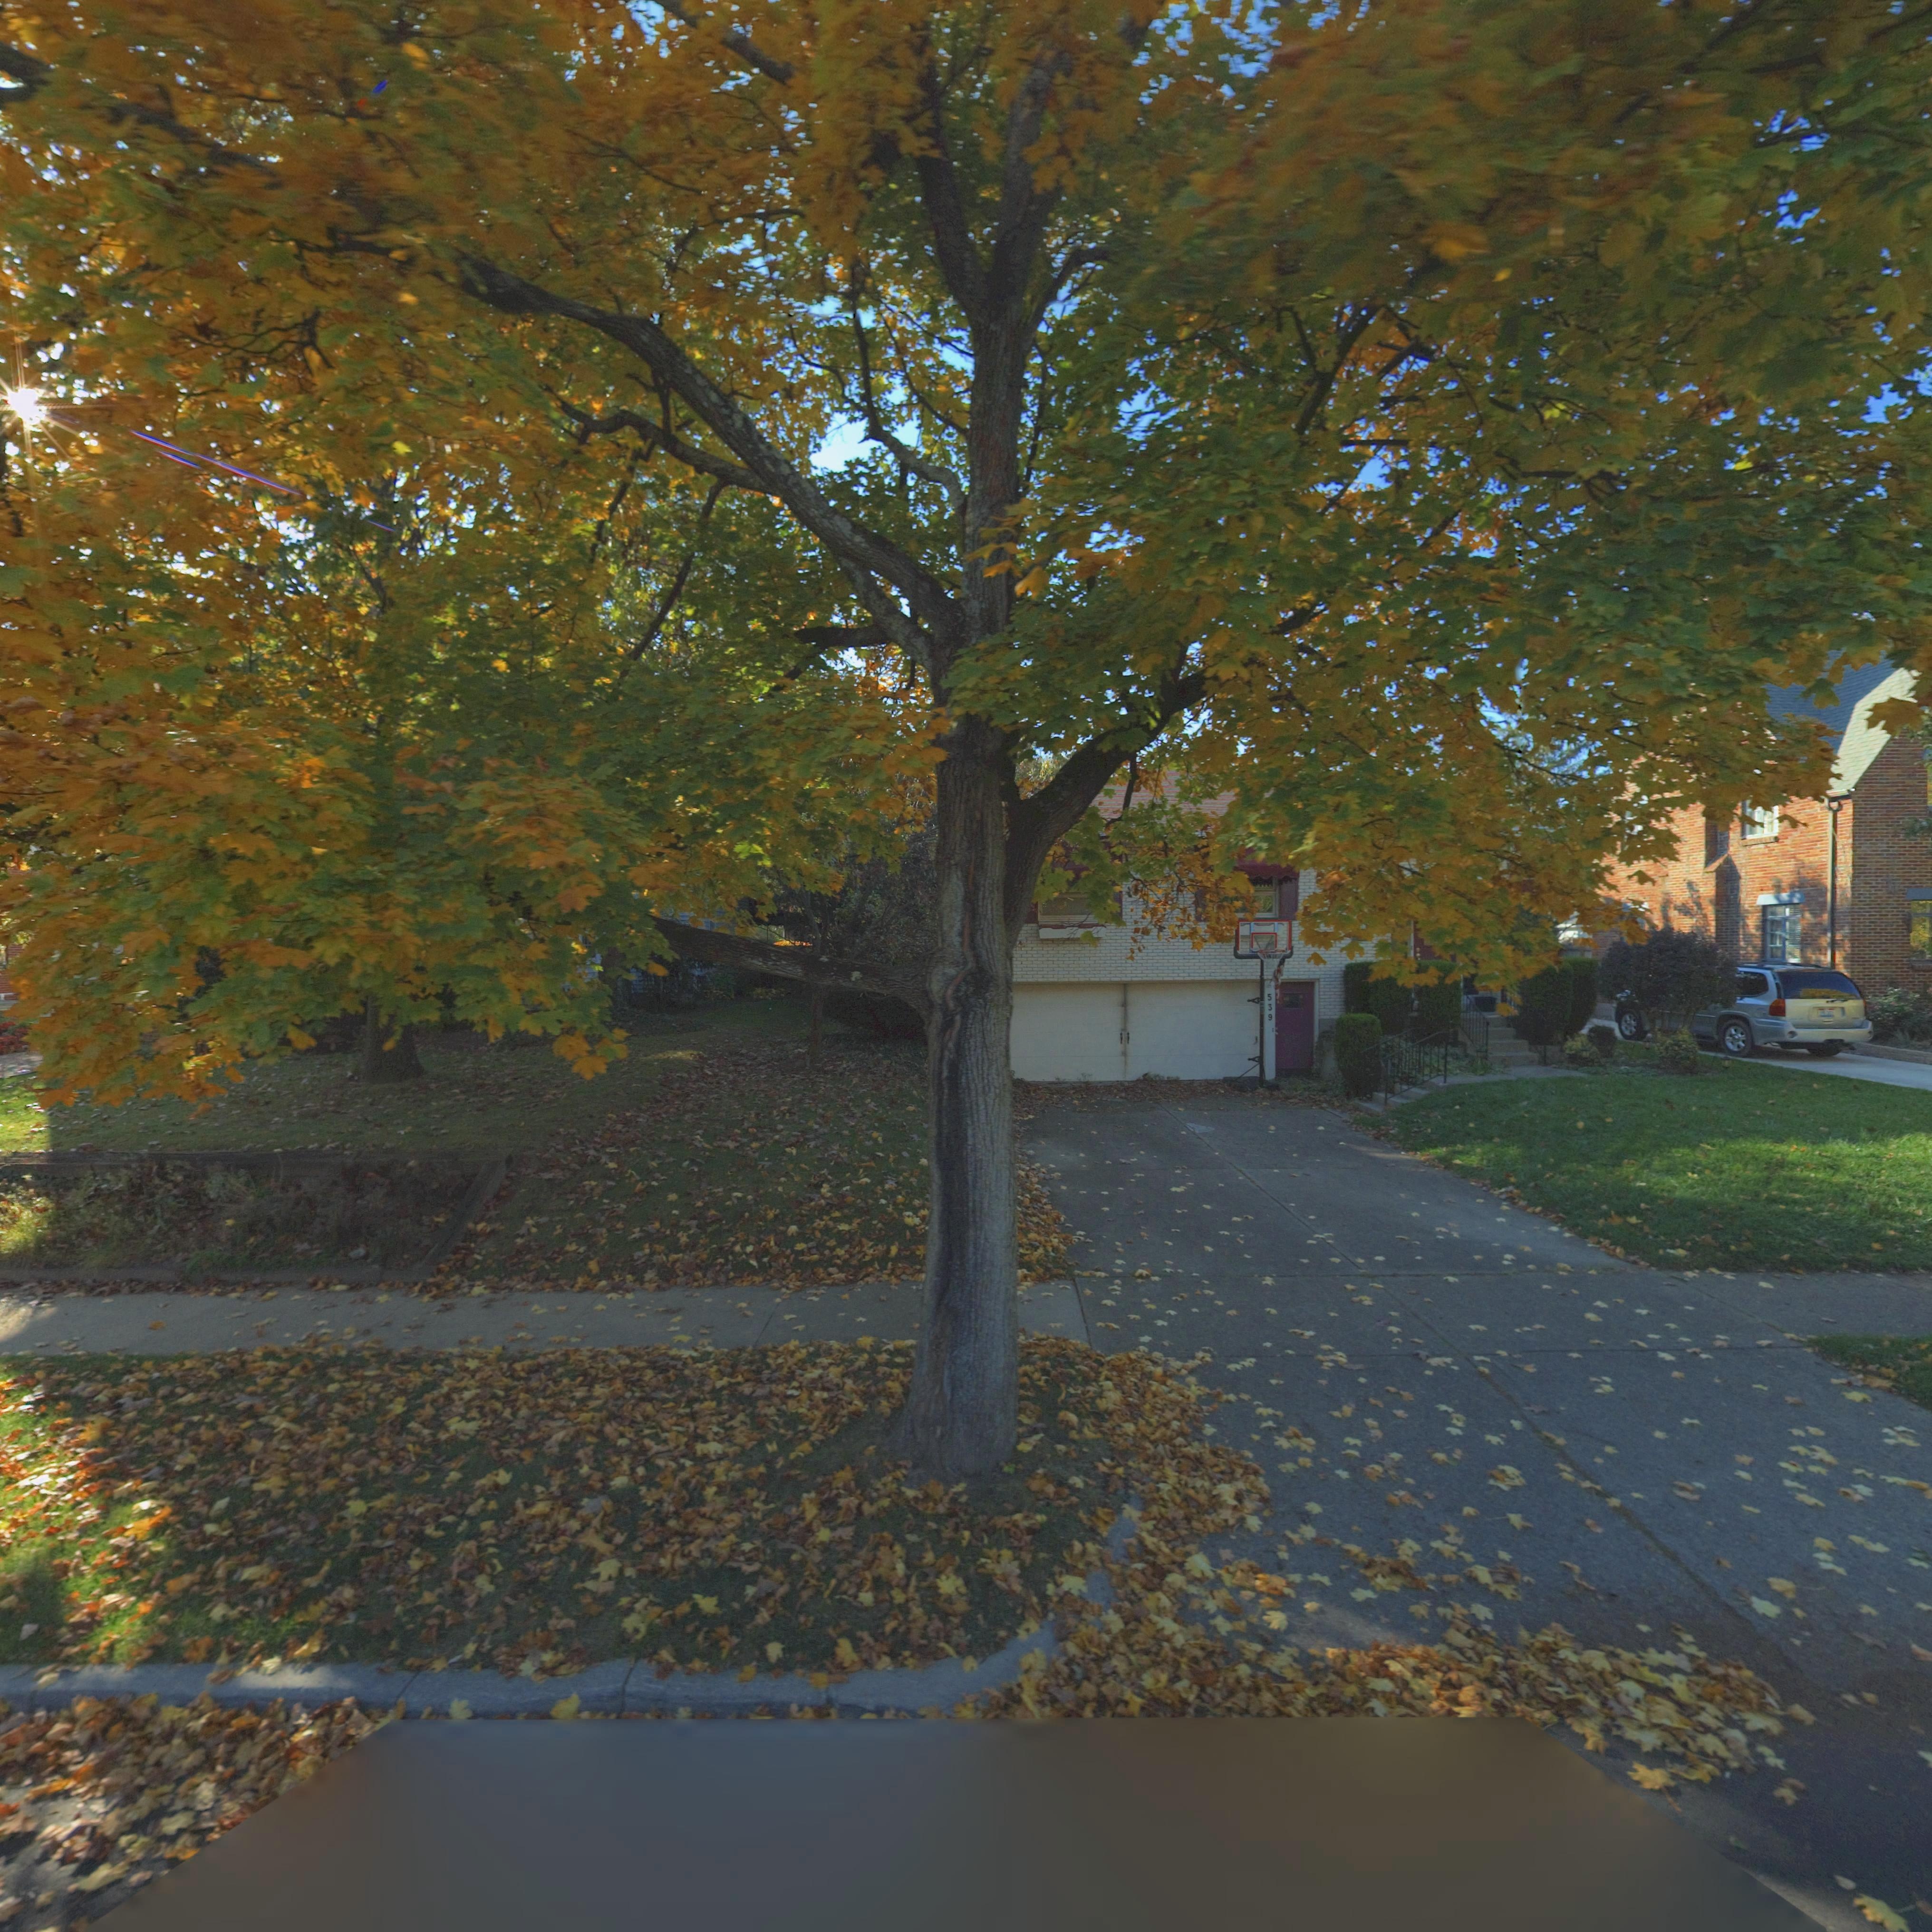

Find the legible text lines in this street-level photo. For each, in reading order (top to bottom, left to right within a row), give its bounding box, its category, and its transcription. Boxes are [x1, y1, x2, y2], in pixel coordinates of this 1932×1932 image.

[1266, 992, 1274, 1022] StreetNumber: 539